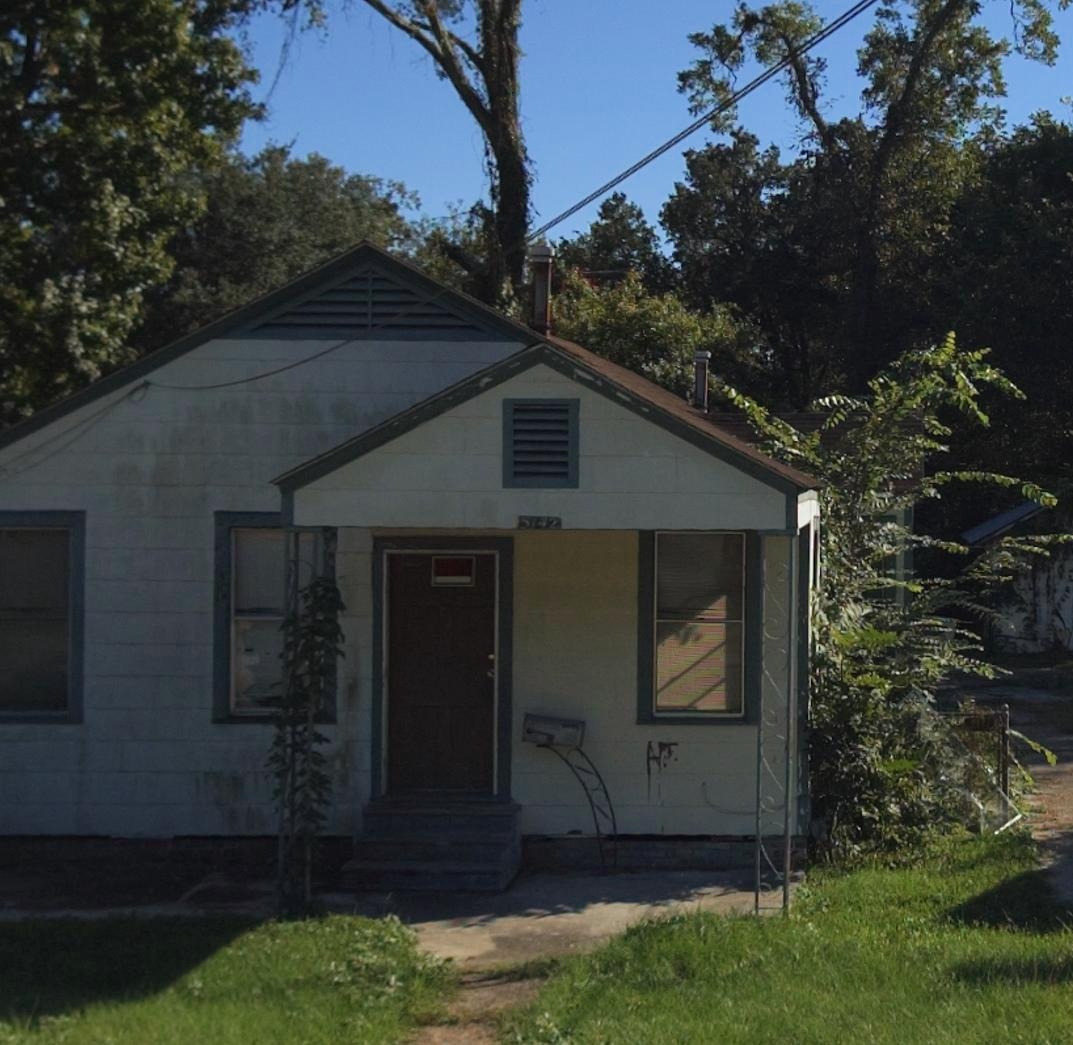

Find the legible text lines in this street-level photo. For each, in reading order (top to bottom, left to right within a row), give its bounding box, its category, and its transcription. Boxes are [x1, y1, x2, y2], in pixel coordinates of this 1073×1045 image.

[518, 516, 560, 530] StreetNumber: 5742